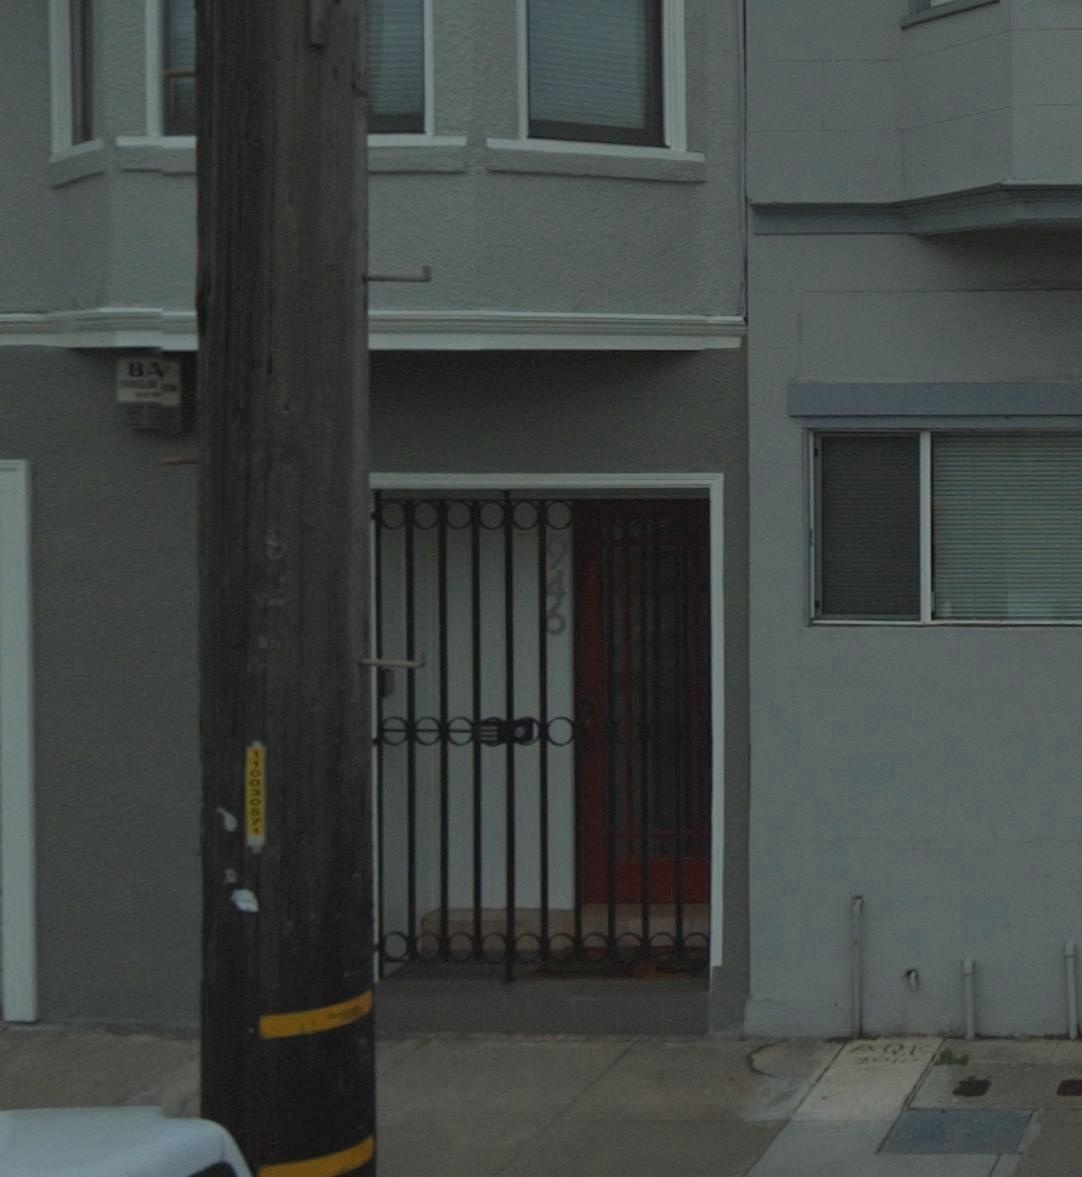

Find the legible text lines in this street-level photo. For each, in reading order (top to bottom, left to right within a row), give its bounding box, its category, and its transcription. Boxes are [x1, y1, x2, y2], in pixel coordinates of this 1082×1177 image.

[126, 361, 165, 378] None: BA
[544, 532, 569, 637] StreetNumber: 946
[246, 748, 264, 836] None: 110030572